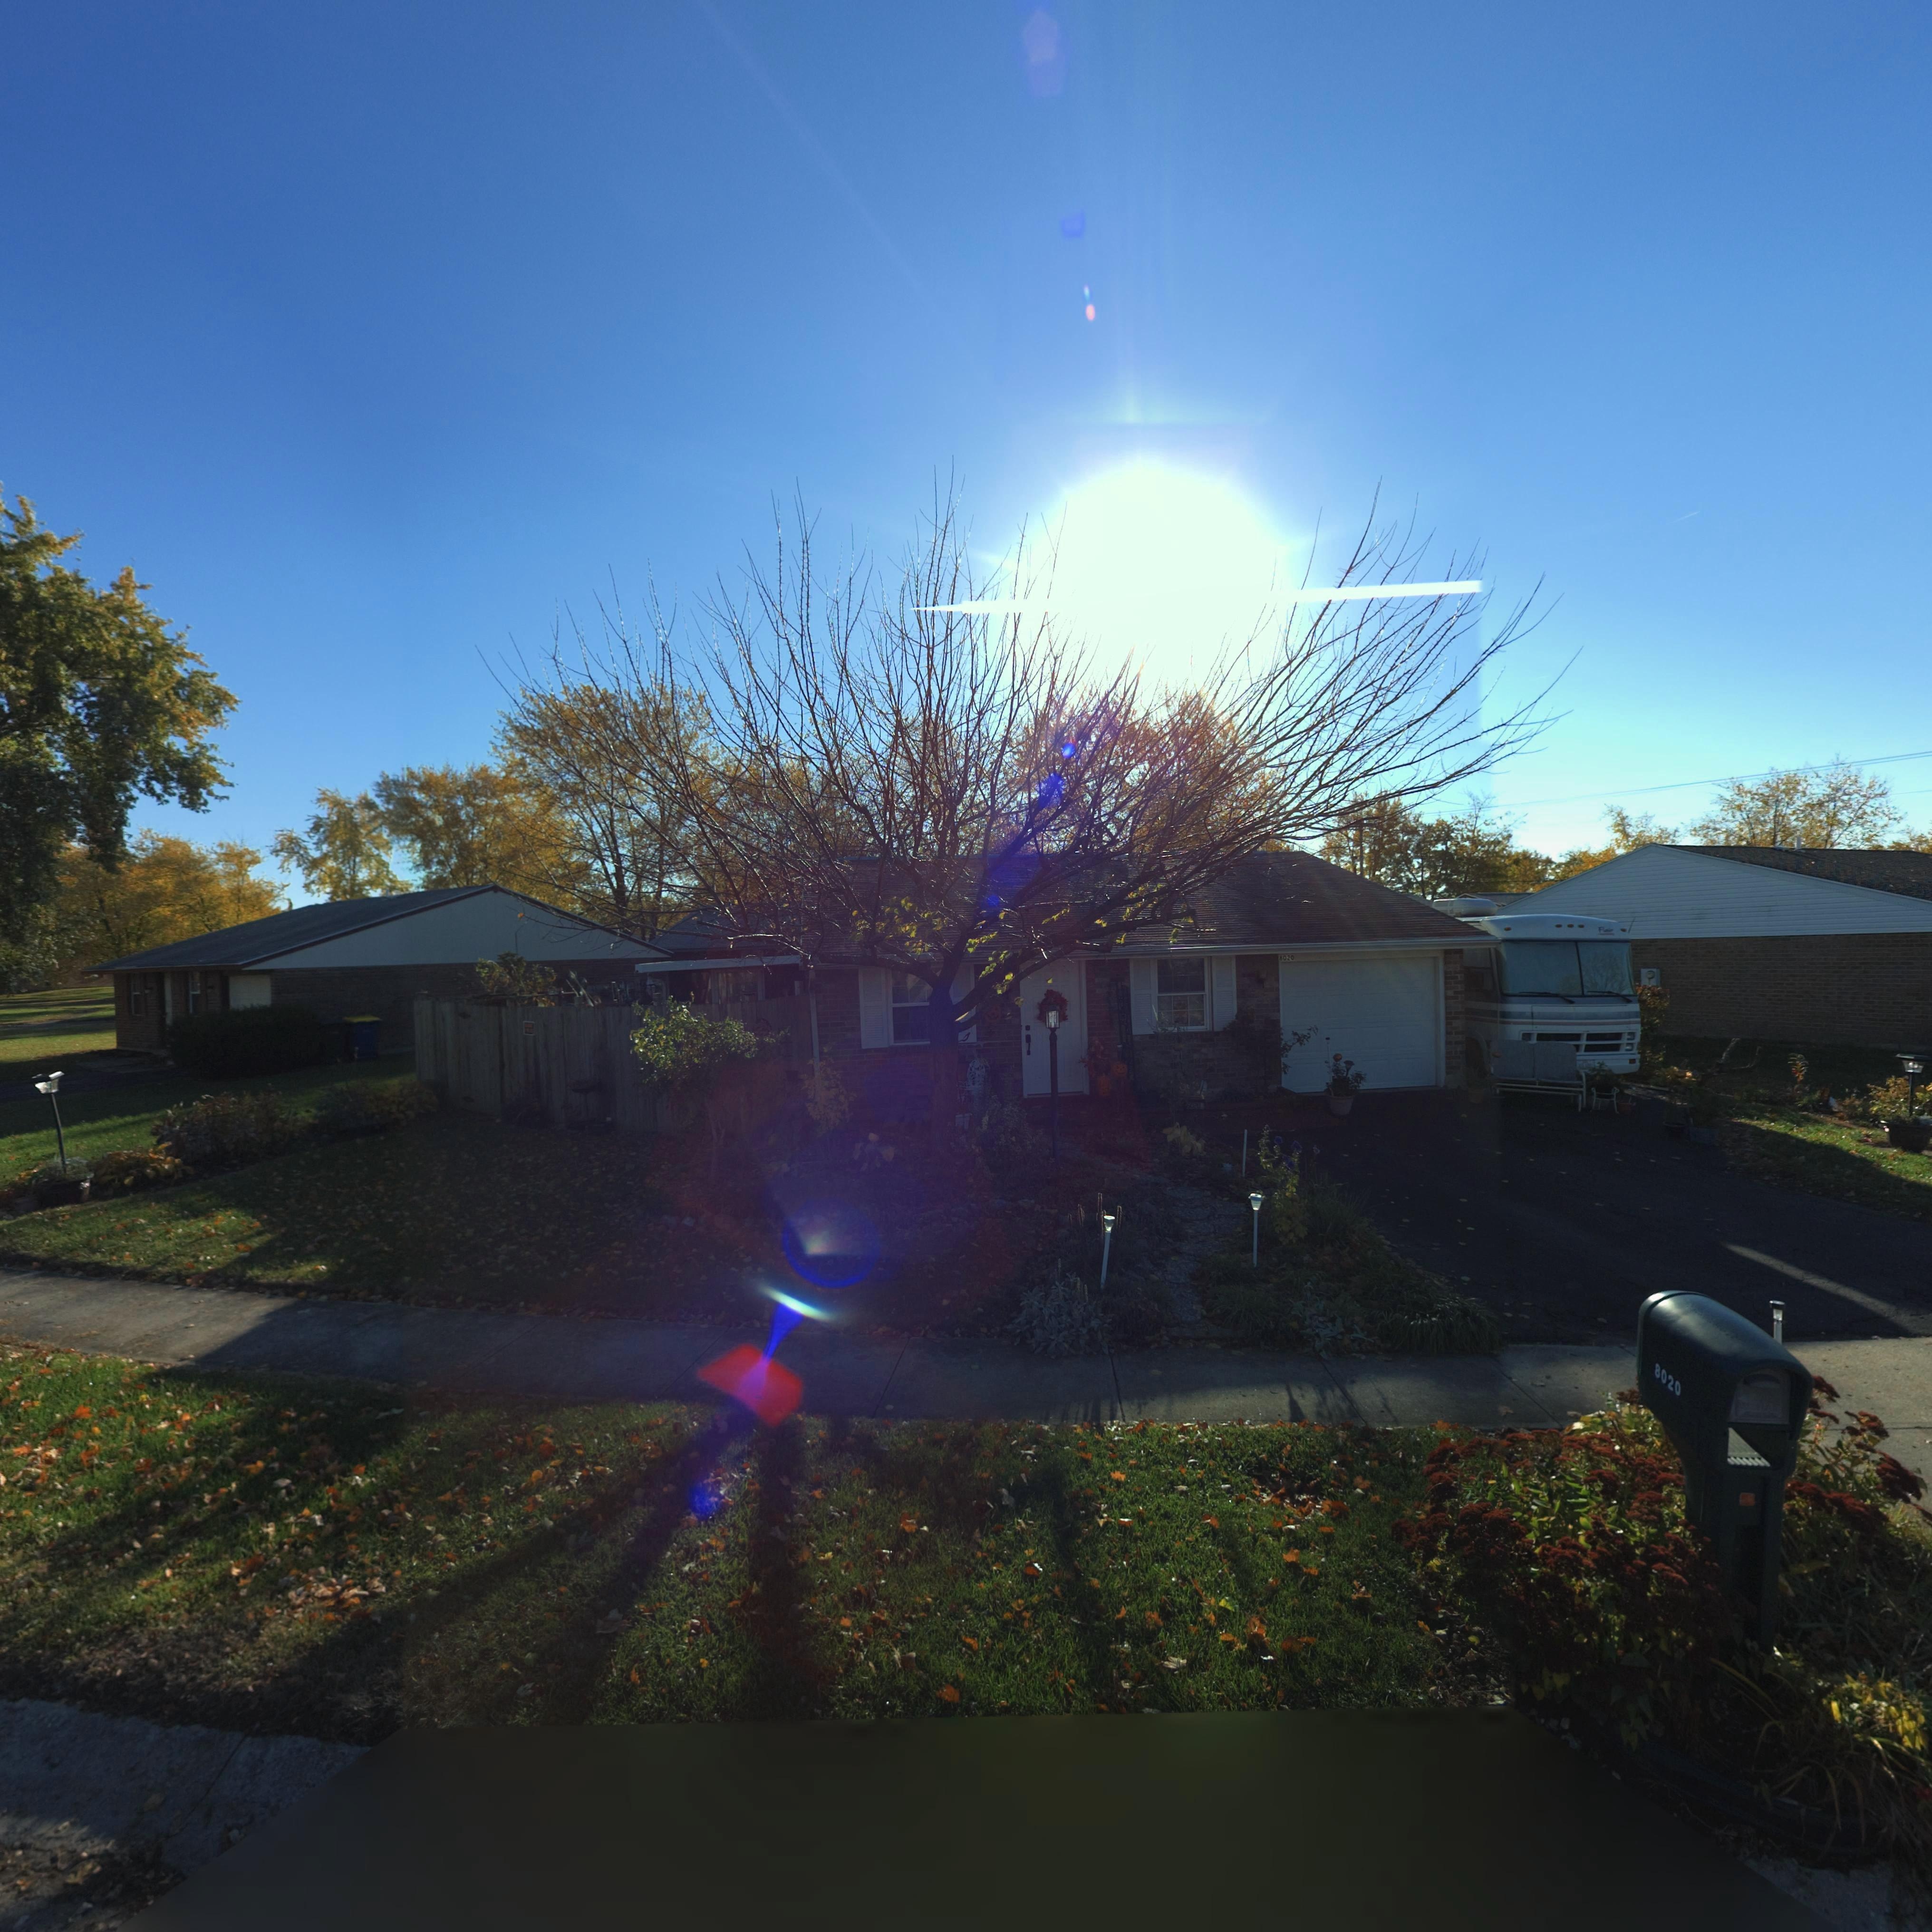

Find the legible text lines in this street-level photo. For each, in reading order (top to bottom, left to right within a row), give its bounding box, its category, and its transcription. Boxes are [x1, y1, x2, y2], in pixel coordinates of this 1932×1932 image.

[1278, 954, 1296, 962] StreetNumber: 8020
[1652, 1361, 1683, 1399] StreetNumber: 8020